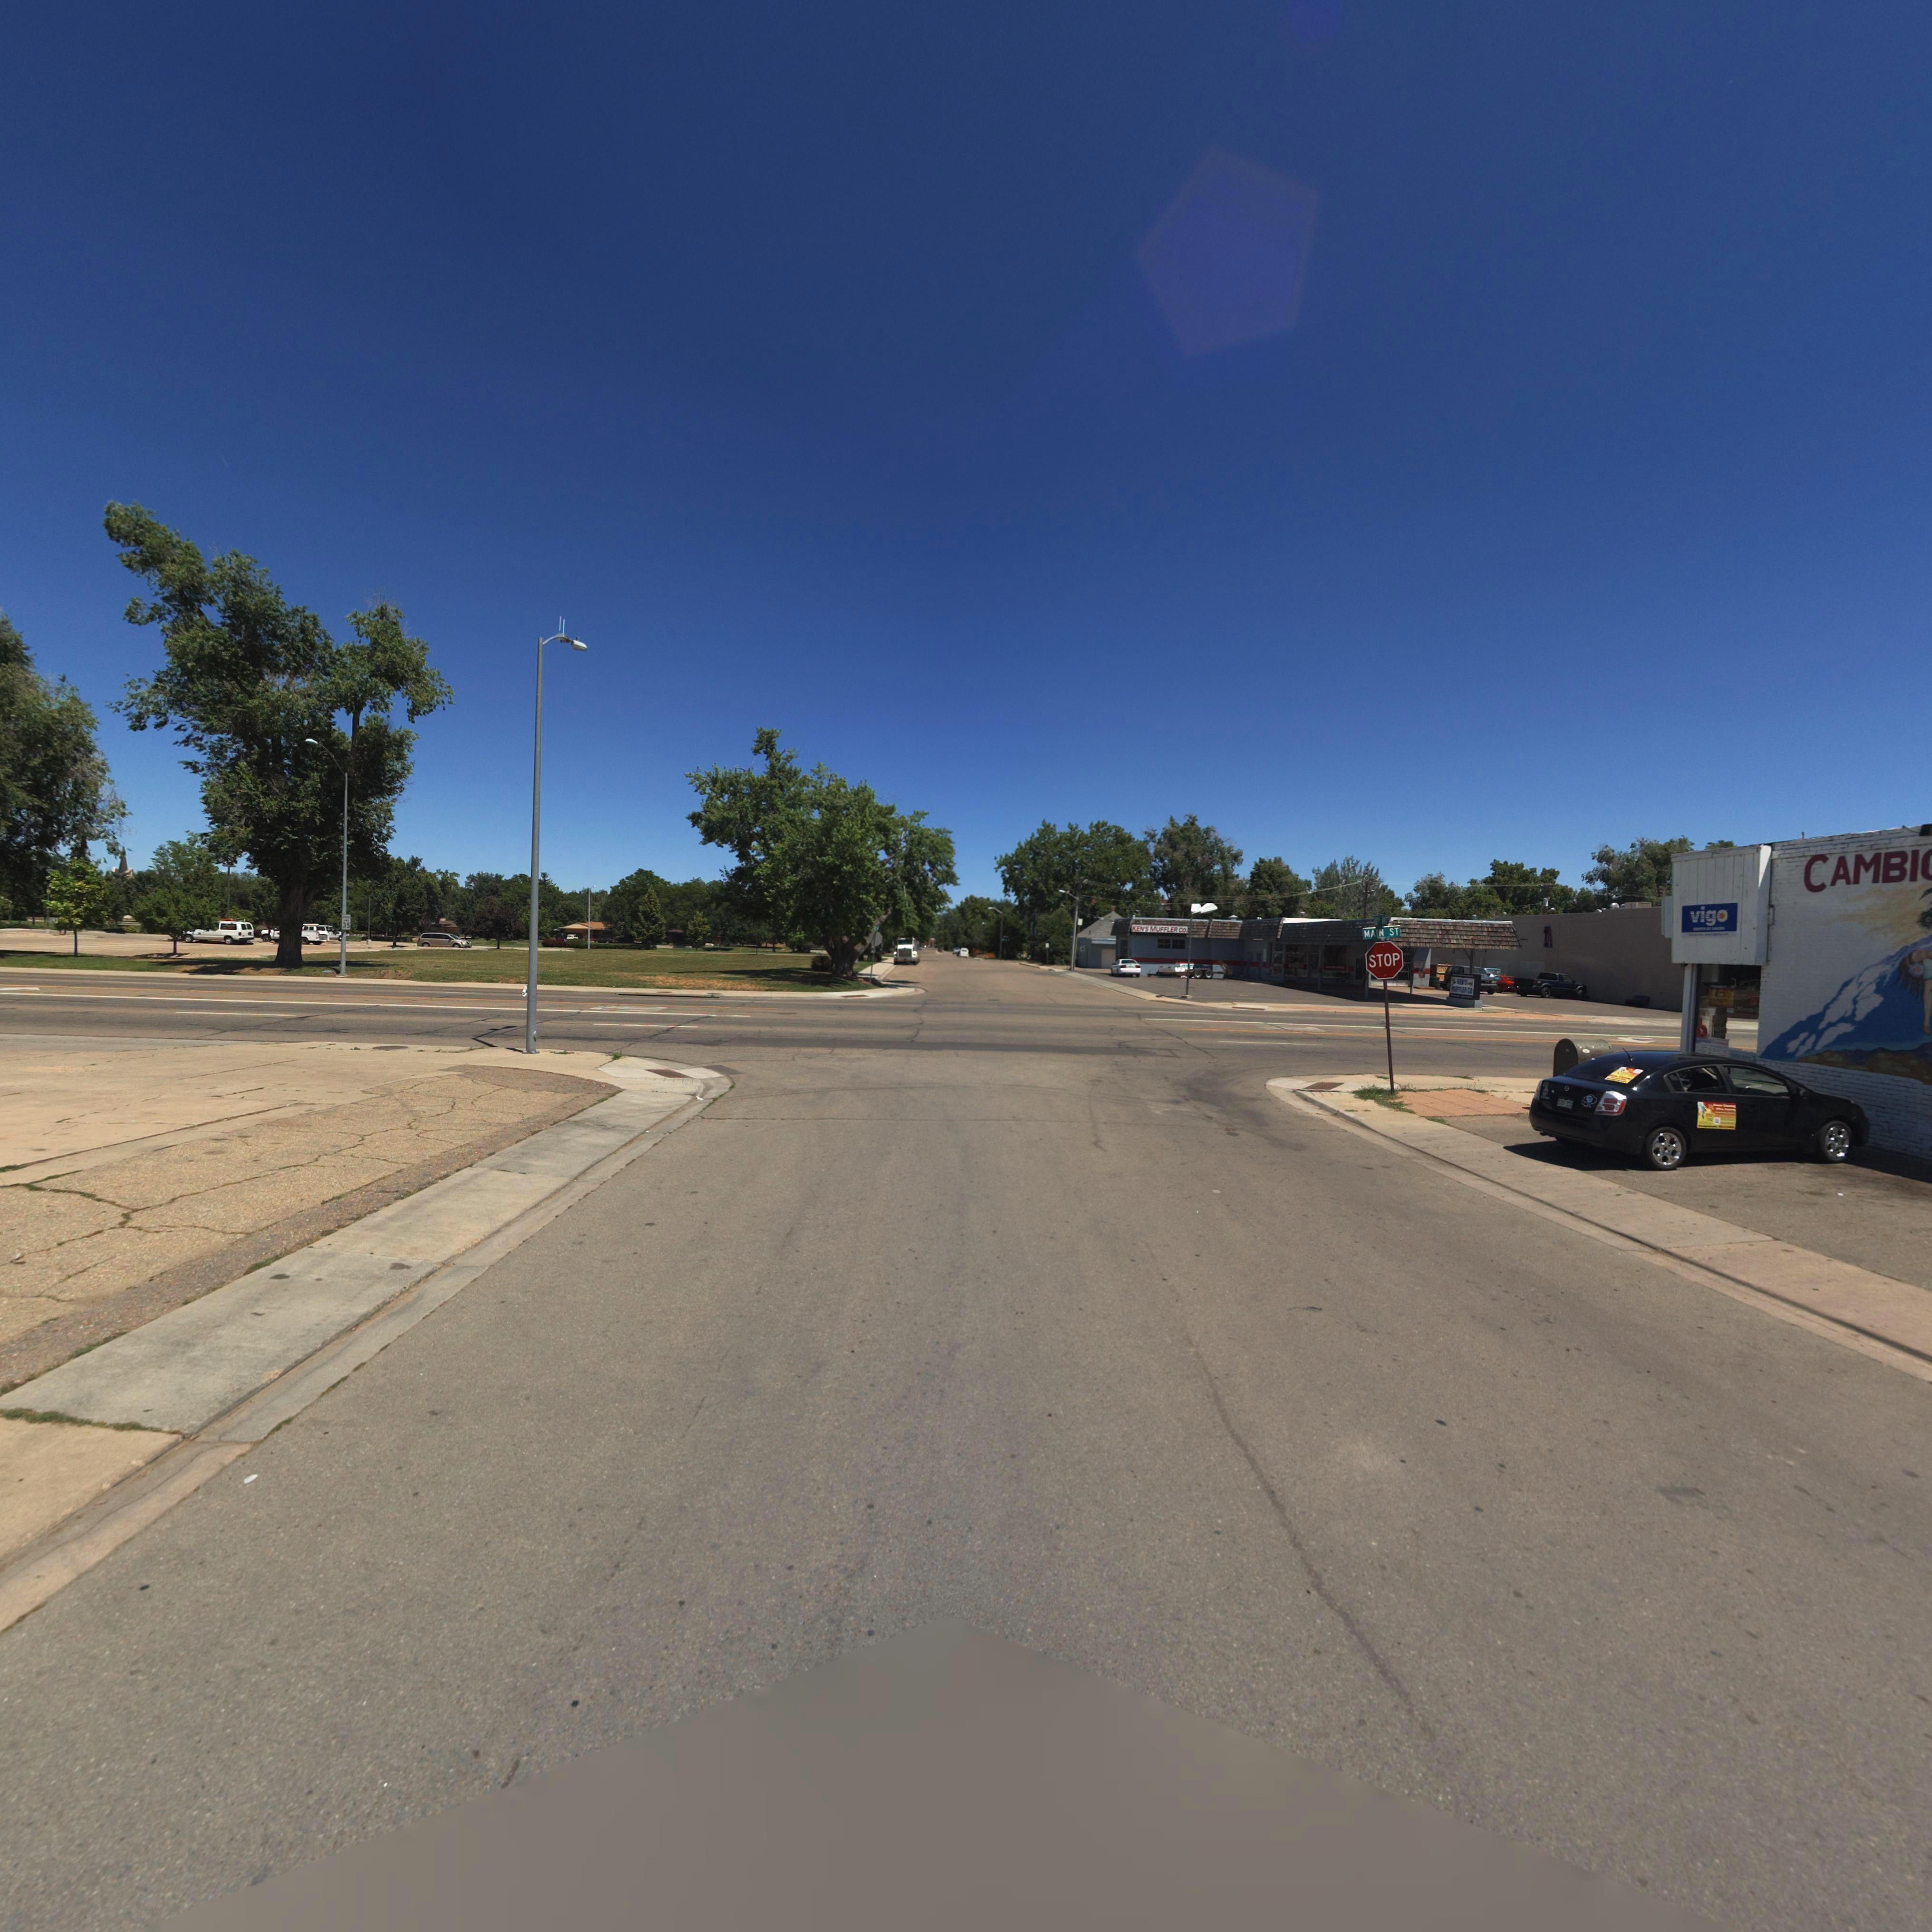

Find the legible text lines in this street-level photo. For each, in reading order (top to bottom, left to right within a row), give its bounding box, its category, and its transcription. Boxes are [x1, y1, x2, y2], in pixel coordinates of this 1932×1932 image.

[1803, 849, 1920, 894] BusinessName: CAMBI
[1130, 925, 1188, 933] BusinessName: KEN'S MUFFLER CO.
[1363, 927, 1399, 938] StreetName: MAIN ST
[1456, 978, 1467, 985] BusinessName: KEN'S
[1451, 985, 1473, 994] BusinessName: **FFLER CO